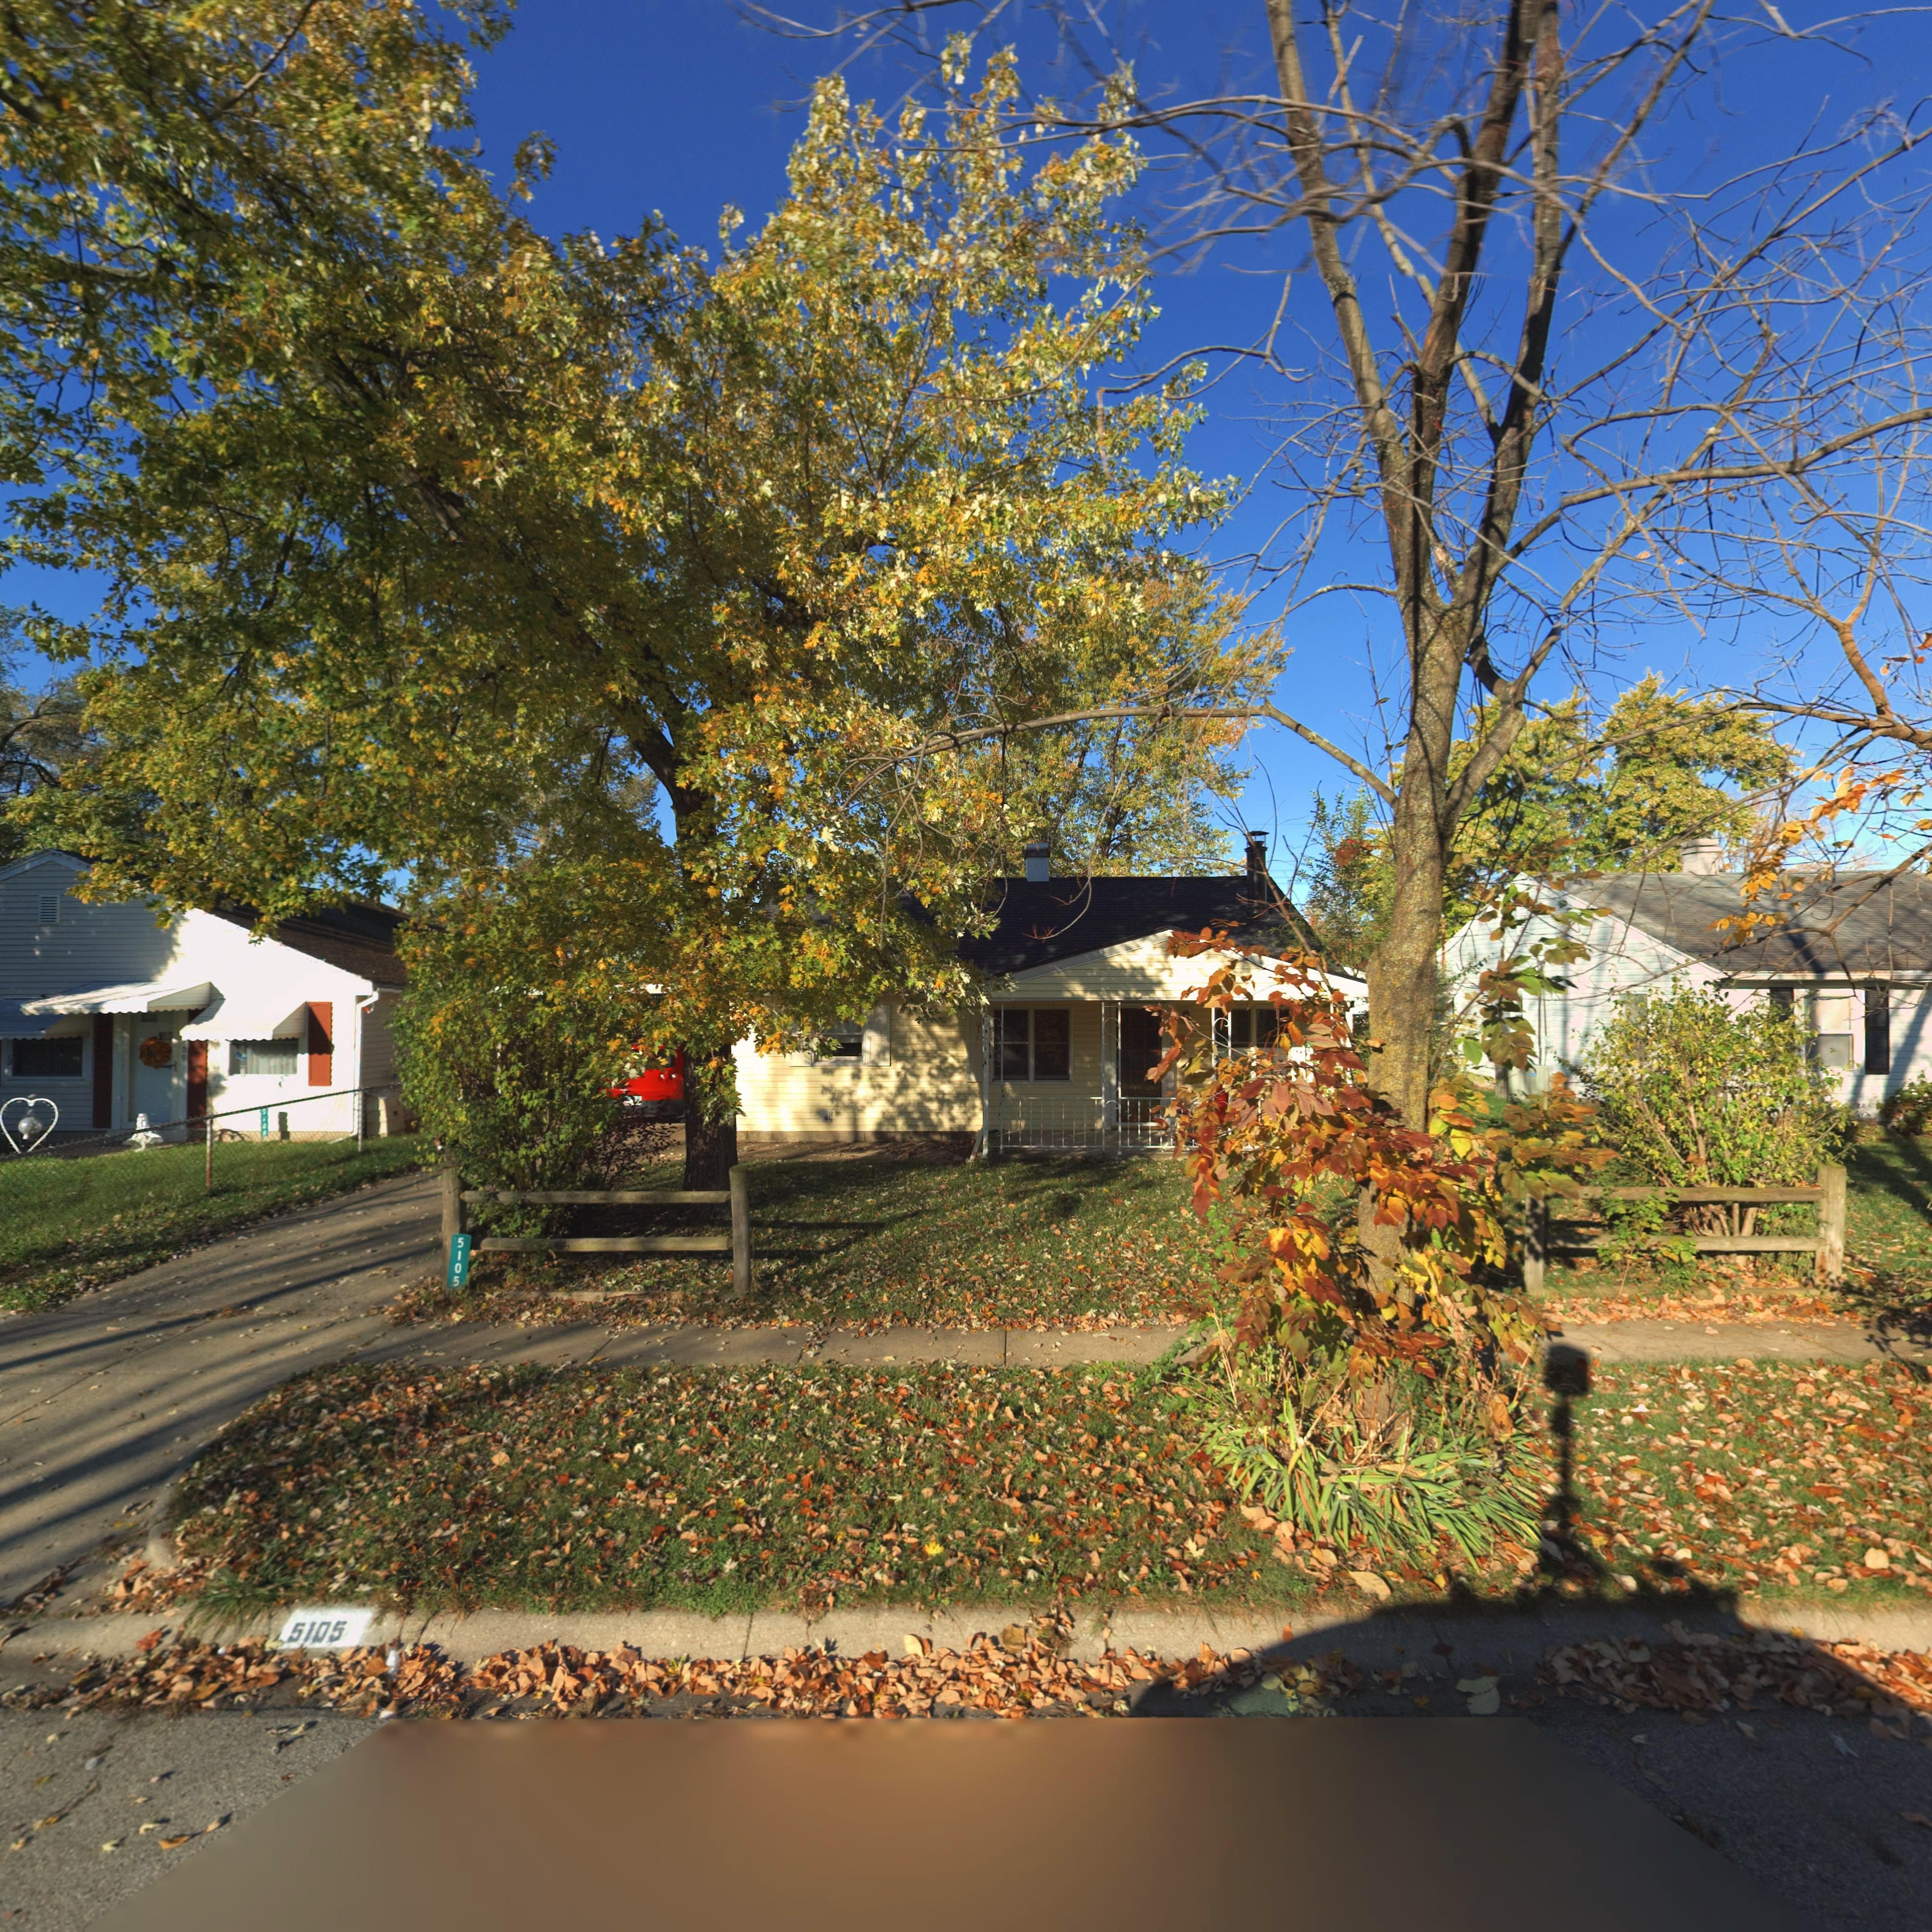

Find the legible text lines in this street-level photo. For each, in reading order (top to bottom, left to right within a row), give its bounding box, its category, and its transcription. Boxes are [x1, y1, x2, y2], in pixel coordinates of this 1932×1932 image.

[1169, 1040, 1173, 1046] StreetNumber: 0
[261, 1108, 267, 1137] StreetNumber: 5109
[452, 1236, 466, 1288] StreetNumber: 5105
[285, 1620, 349, 1643] StreetNumber: 5105